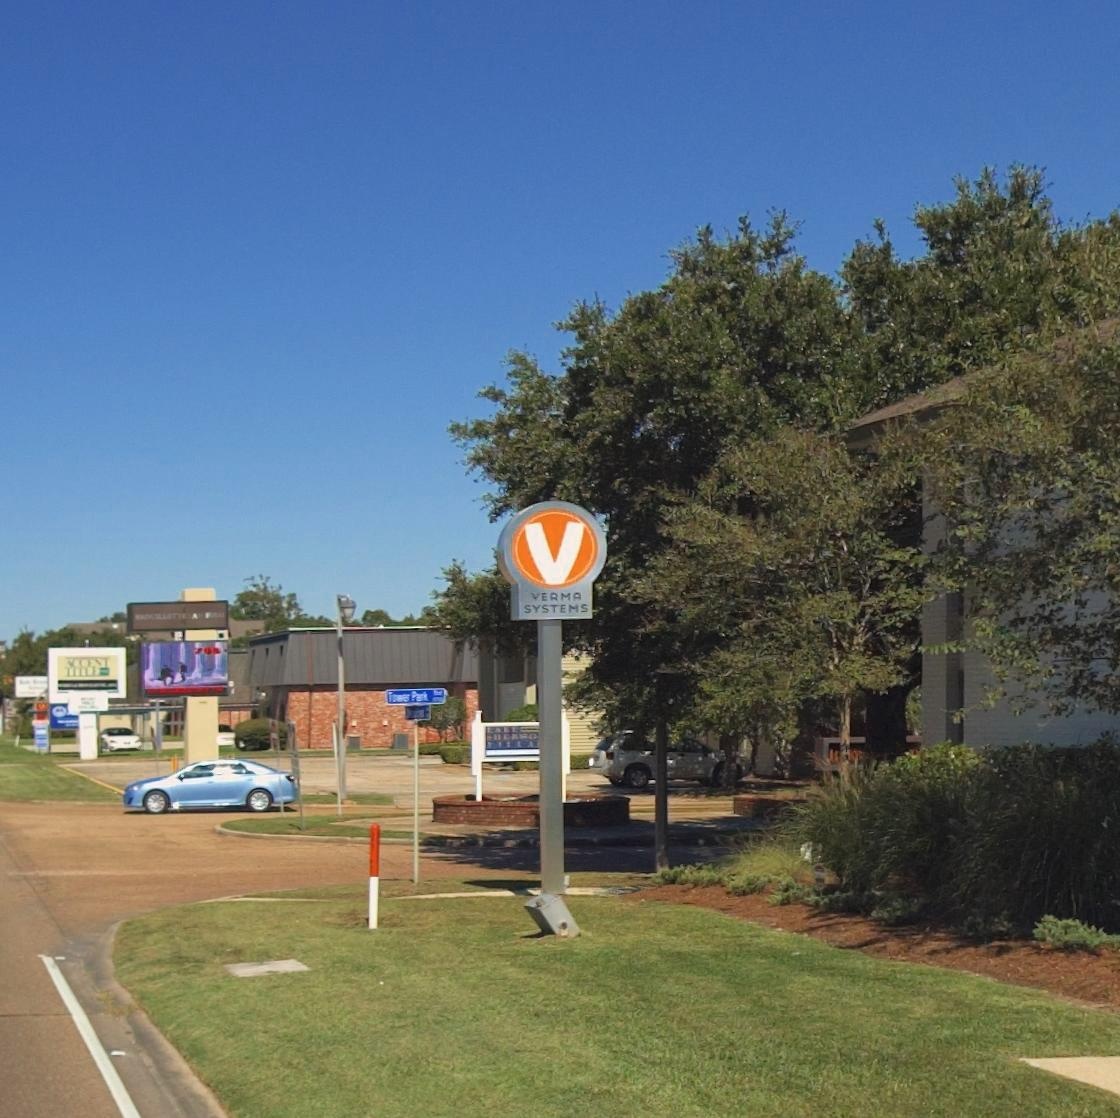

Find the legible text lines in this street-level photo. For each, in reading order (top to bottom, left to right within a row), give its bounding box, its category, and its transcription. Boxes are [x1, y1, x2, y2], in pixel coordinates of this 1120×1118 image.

[521, 519, 587, 587] BusinessName: V
[525, 588, 584, 604] BusinessName: VERMA
[522, 601, 592, 616] BusinessName: SYSTEMS
[409, 689, 419, 704] StreetName: P
[515, 738, 535, 750] BusinessName: LA